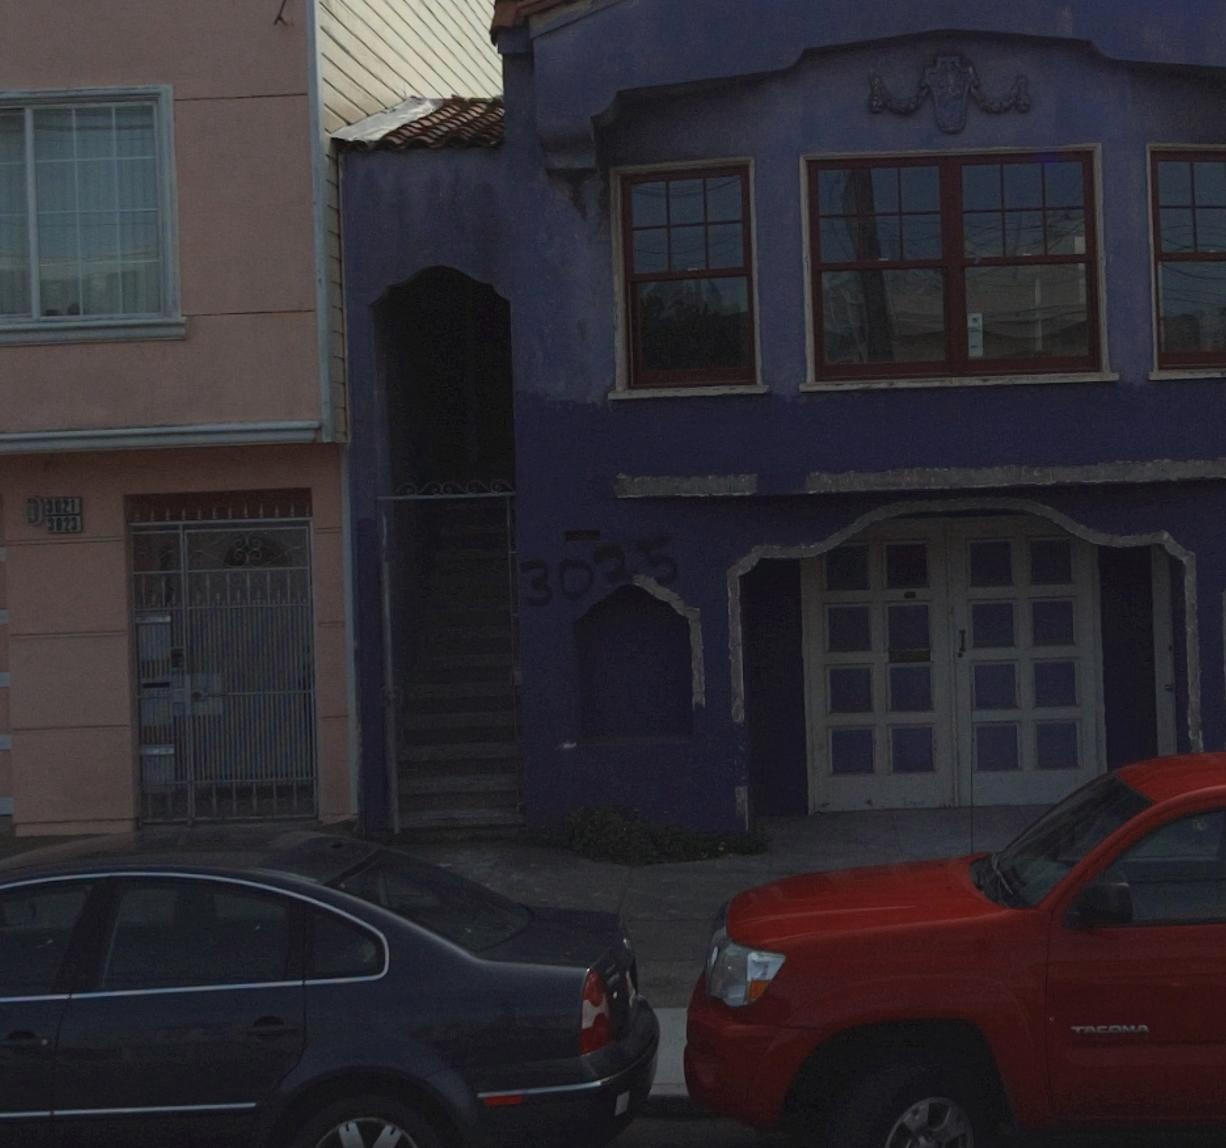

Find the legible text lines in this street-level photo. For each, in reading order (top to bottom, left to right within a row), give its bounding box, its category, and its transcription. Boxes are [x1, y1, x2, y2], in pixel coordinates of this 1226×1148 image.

[45, 497, 78, 516] StreetNumber: 3021
[46, 515, 79, 532] StreetNumber: 3023
[515, 523, 683, 611] StreetNumber: 3025
[1068, 1023, 1153, 1035] None: TACOMA